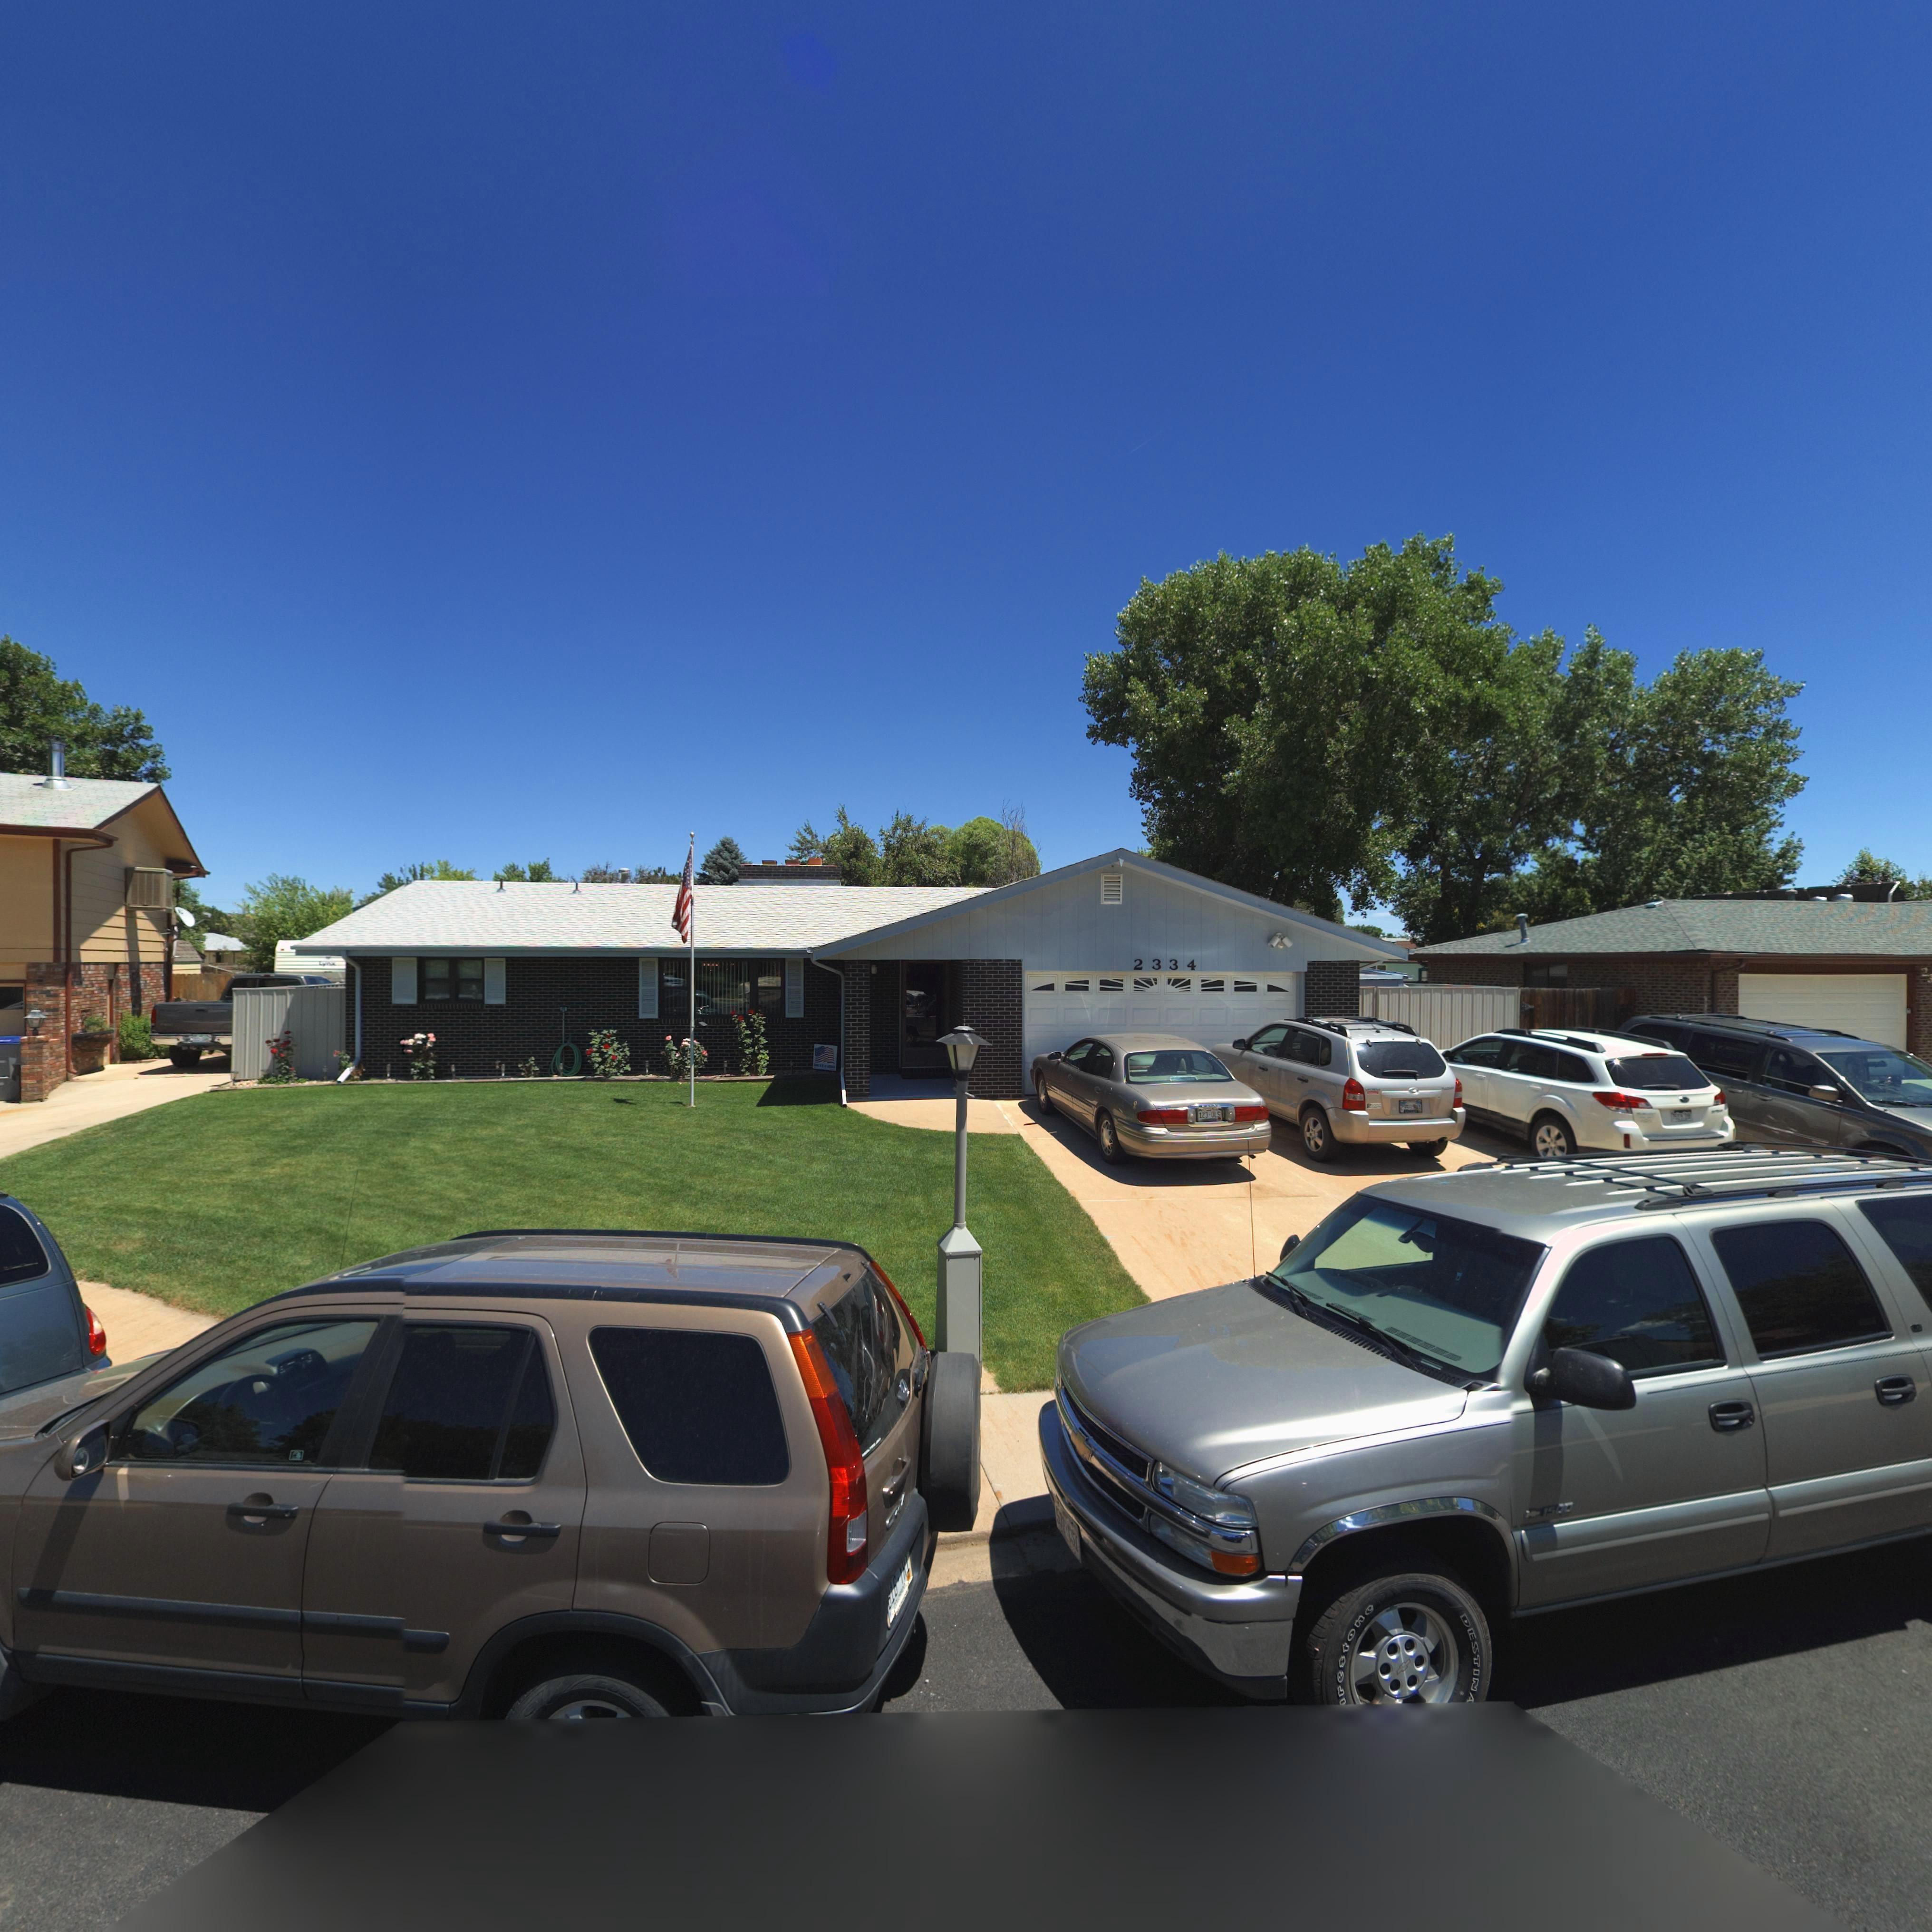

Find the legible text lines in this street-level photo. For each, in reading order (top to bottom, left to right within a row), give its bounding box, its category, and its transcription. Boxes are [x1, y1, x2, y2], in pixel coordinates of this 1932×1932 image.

[1132, 957, 1197, 970] StreetNumber: 2334